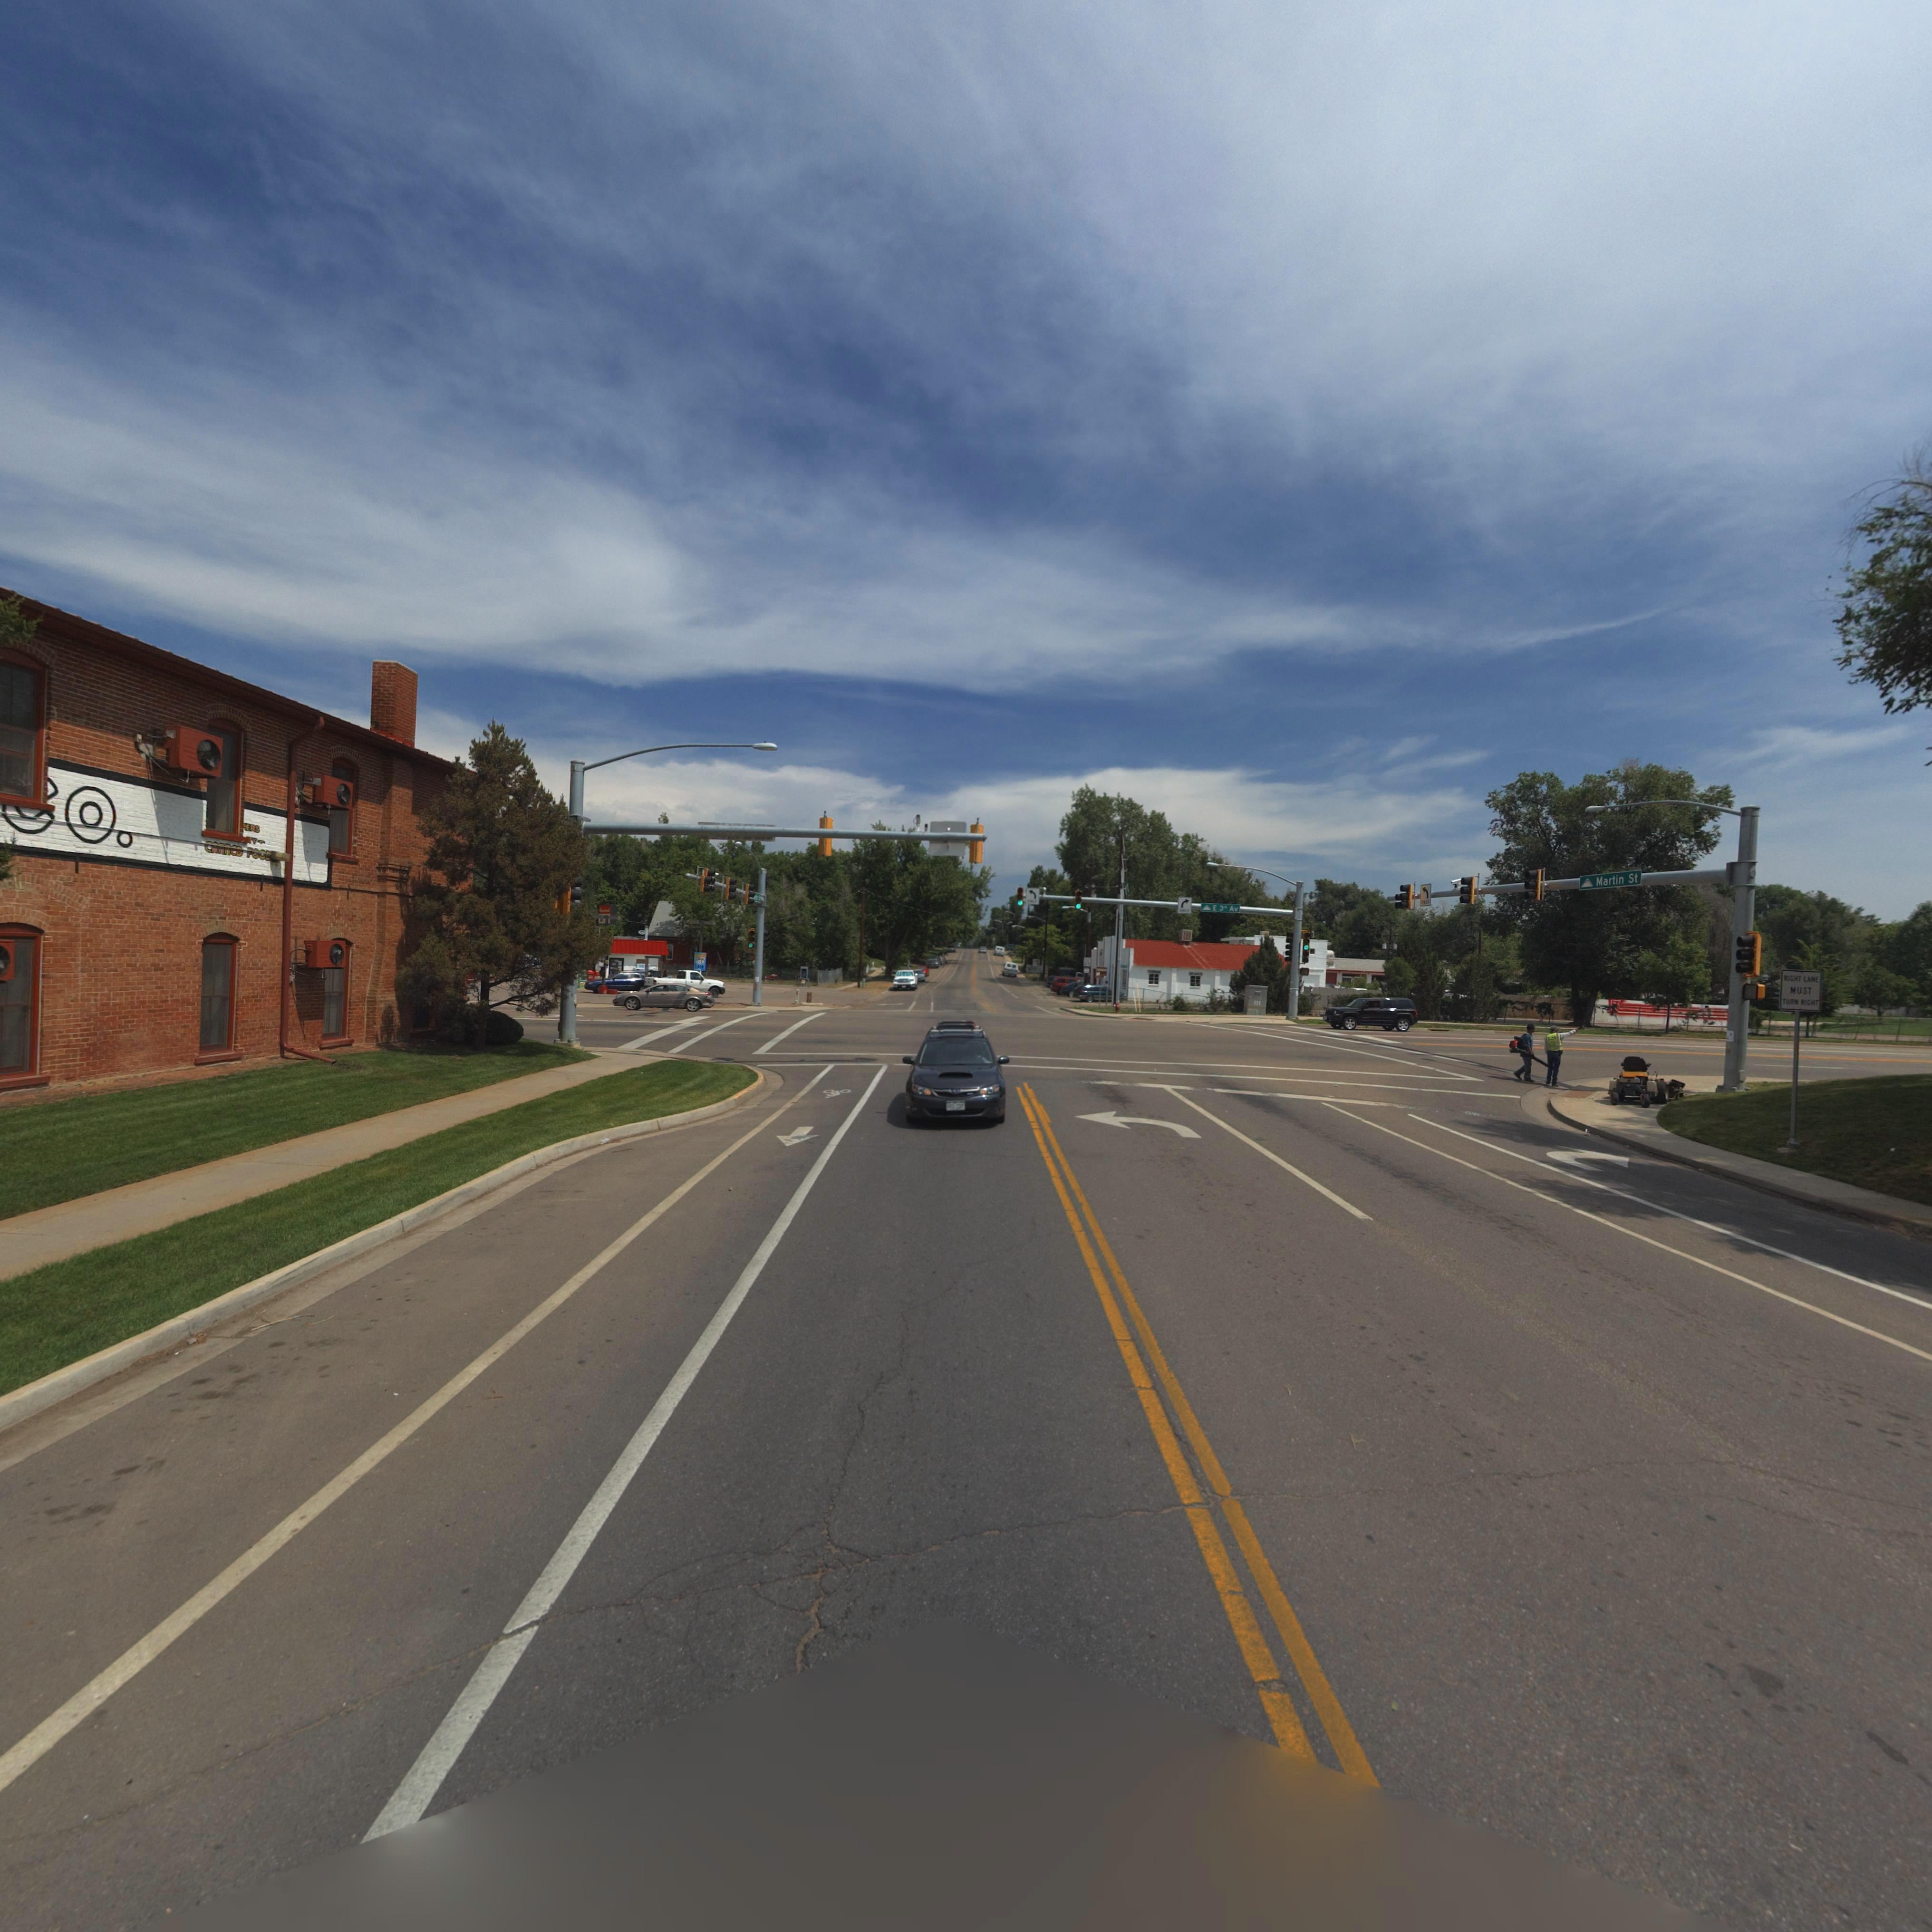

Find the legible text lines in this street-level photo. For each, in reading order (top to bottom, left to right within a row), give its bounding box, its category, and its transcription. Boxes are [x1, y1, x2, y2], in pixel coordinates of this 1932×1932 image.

[1595, 872, 1638, 887] StreetName: Martin St
[1213, 905, 1238, 912] StreetName: E 3** Av